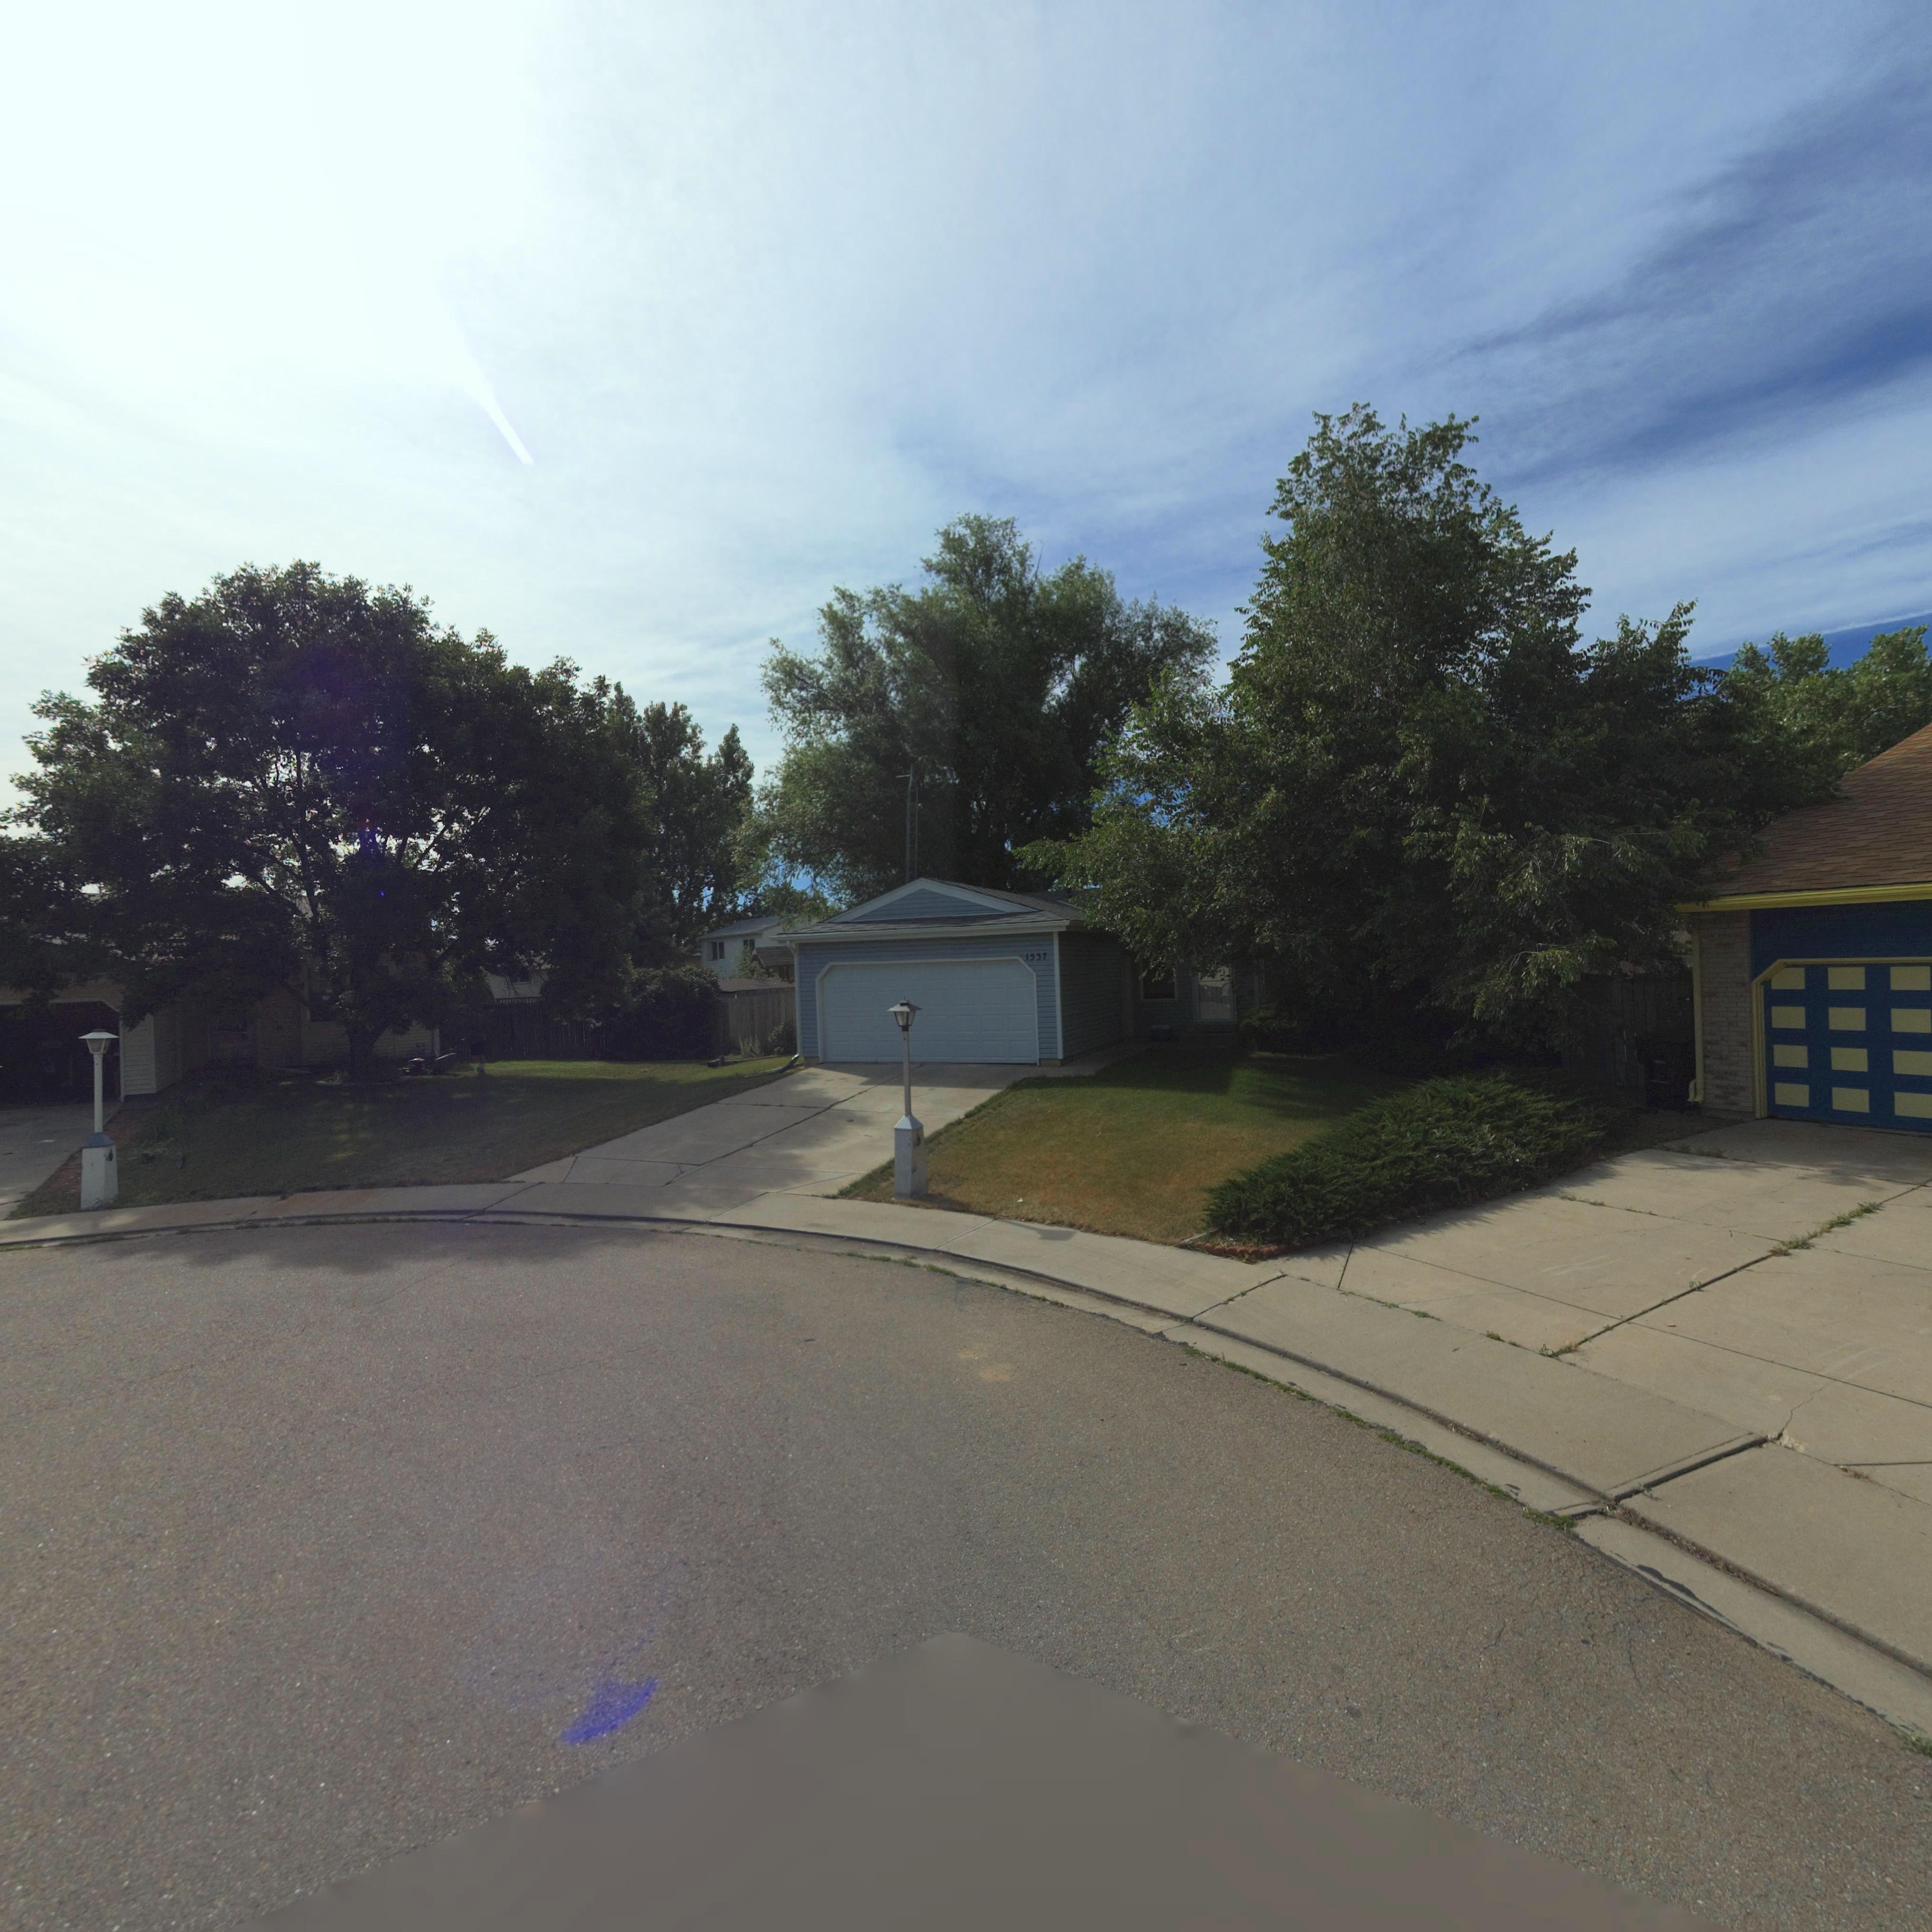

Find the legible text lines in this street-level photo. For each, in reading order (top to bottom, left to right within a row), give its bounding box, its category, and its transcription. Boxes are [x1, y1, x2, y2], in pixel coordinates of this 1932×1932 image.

[1025, 952, 1046, 961] StreetNumber: 1537